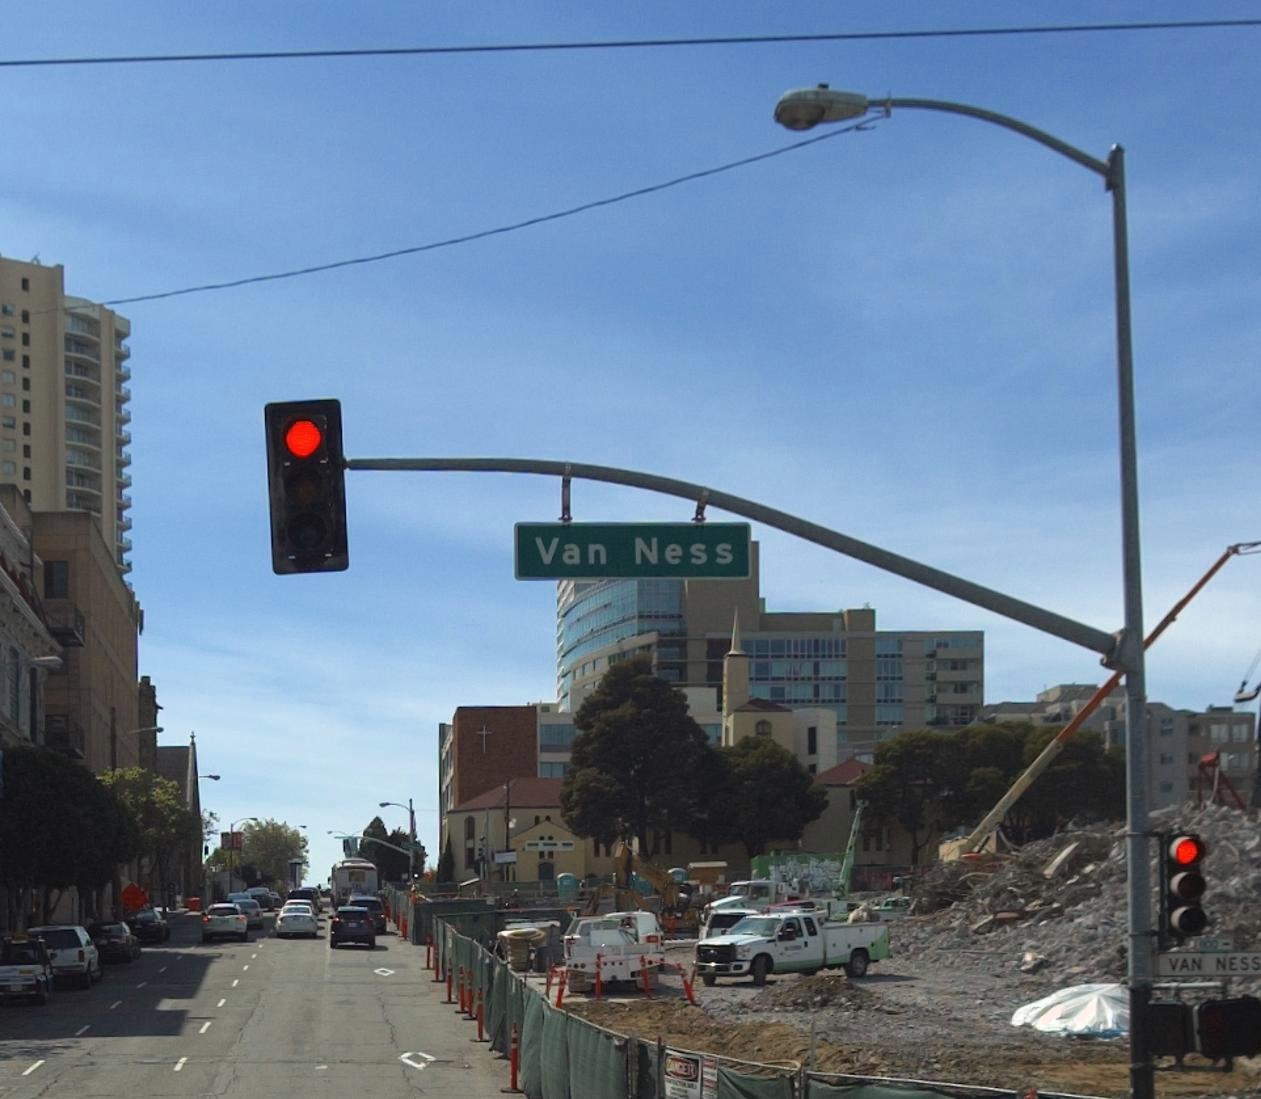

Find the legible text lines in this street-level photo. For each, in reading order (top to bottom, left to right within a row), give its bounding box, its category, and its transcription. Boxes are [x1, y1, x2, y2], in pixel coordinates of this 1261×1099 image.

[531, 534, 736, 568] StreetName: Van Ness
[1165, 955, 1261, 974] StreetName: VAN NESS